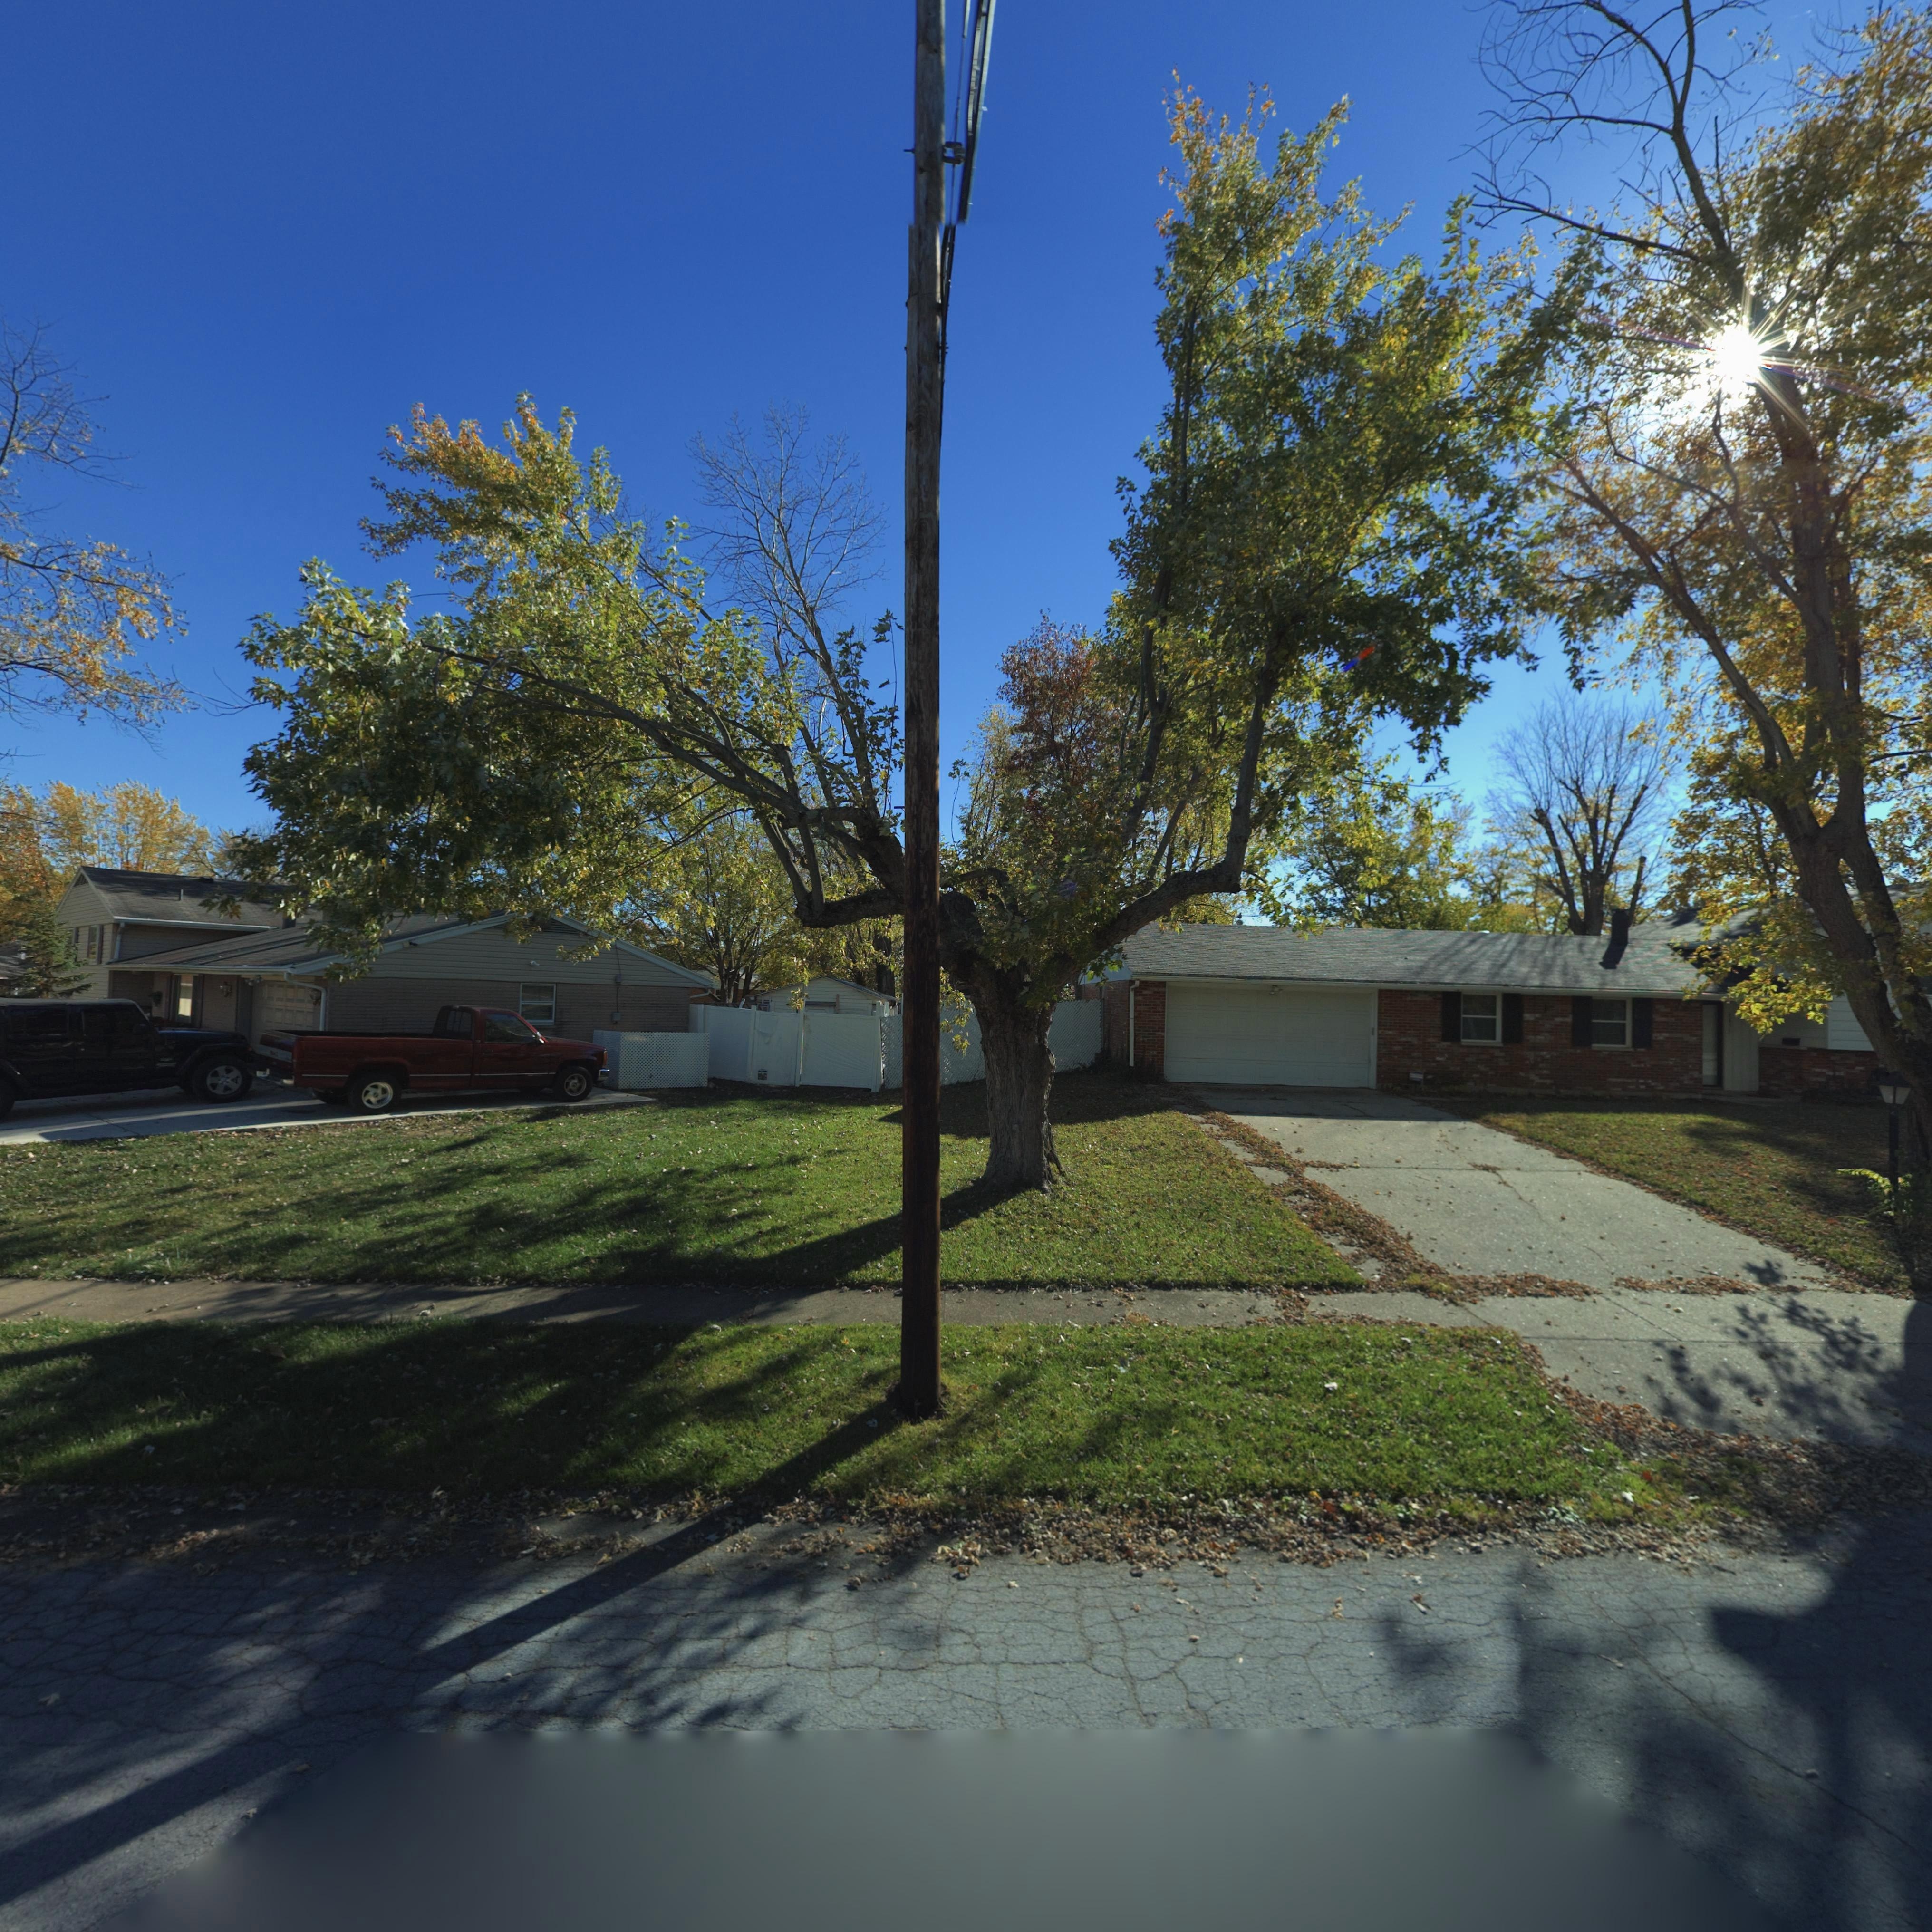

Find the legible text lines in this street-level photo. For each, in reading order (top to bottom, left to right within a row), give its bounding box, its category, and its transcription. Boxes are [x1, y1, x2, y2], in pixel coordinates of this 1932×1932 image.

[1728, 1011, 1732, 1033] StreetNumber: ***1